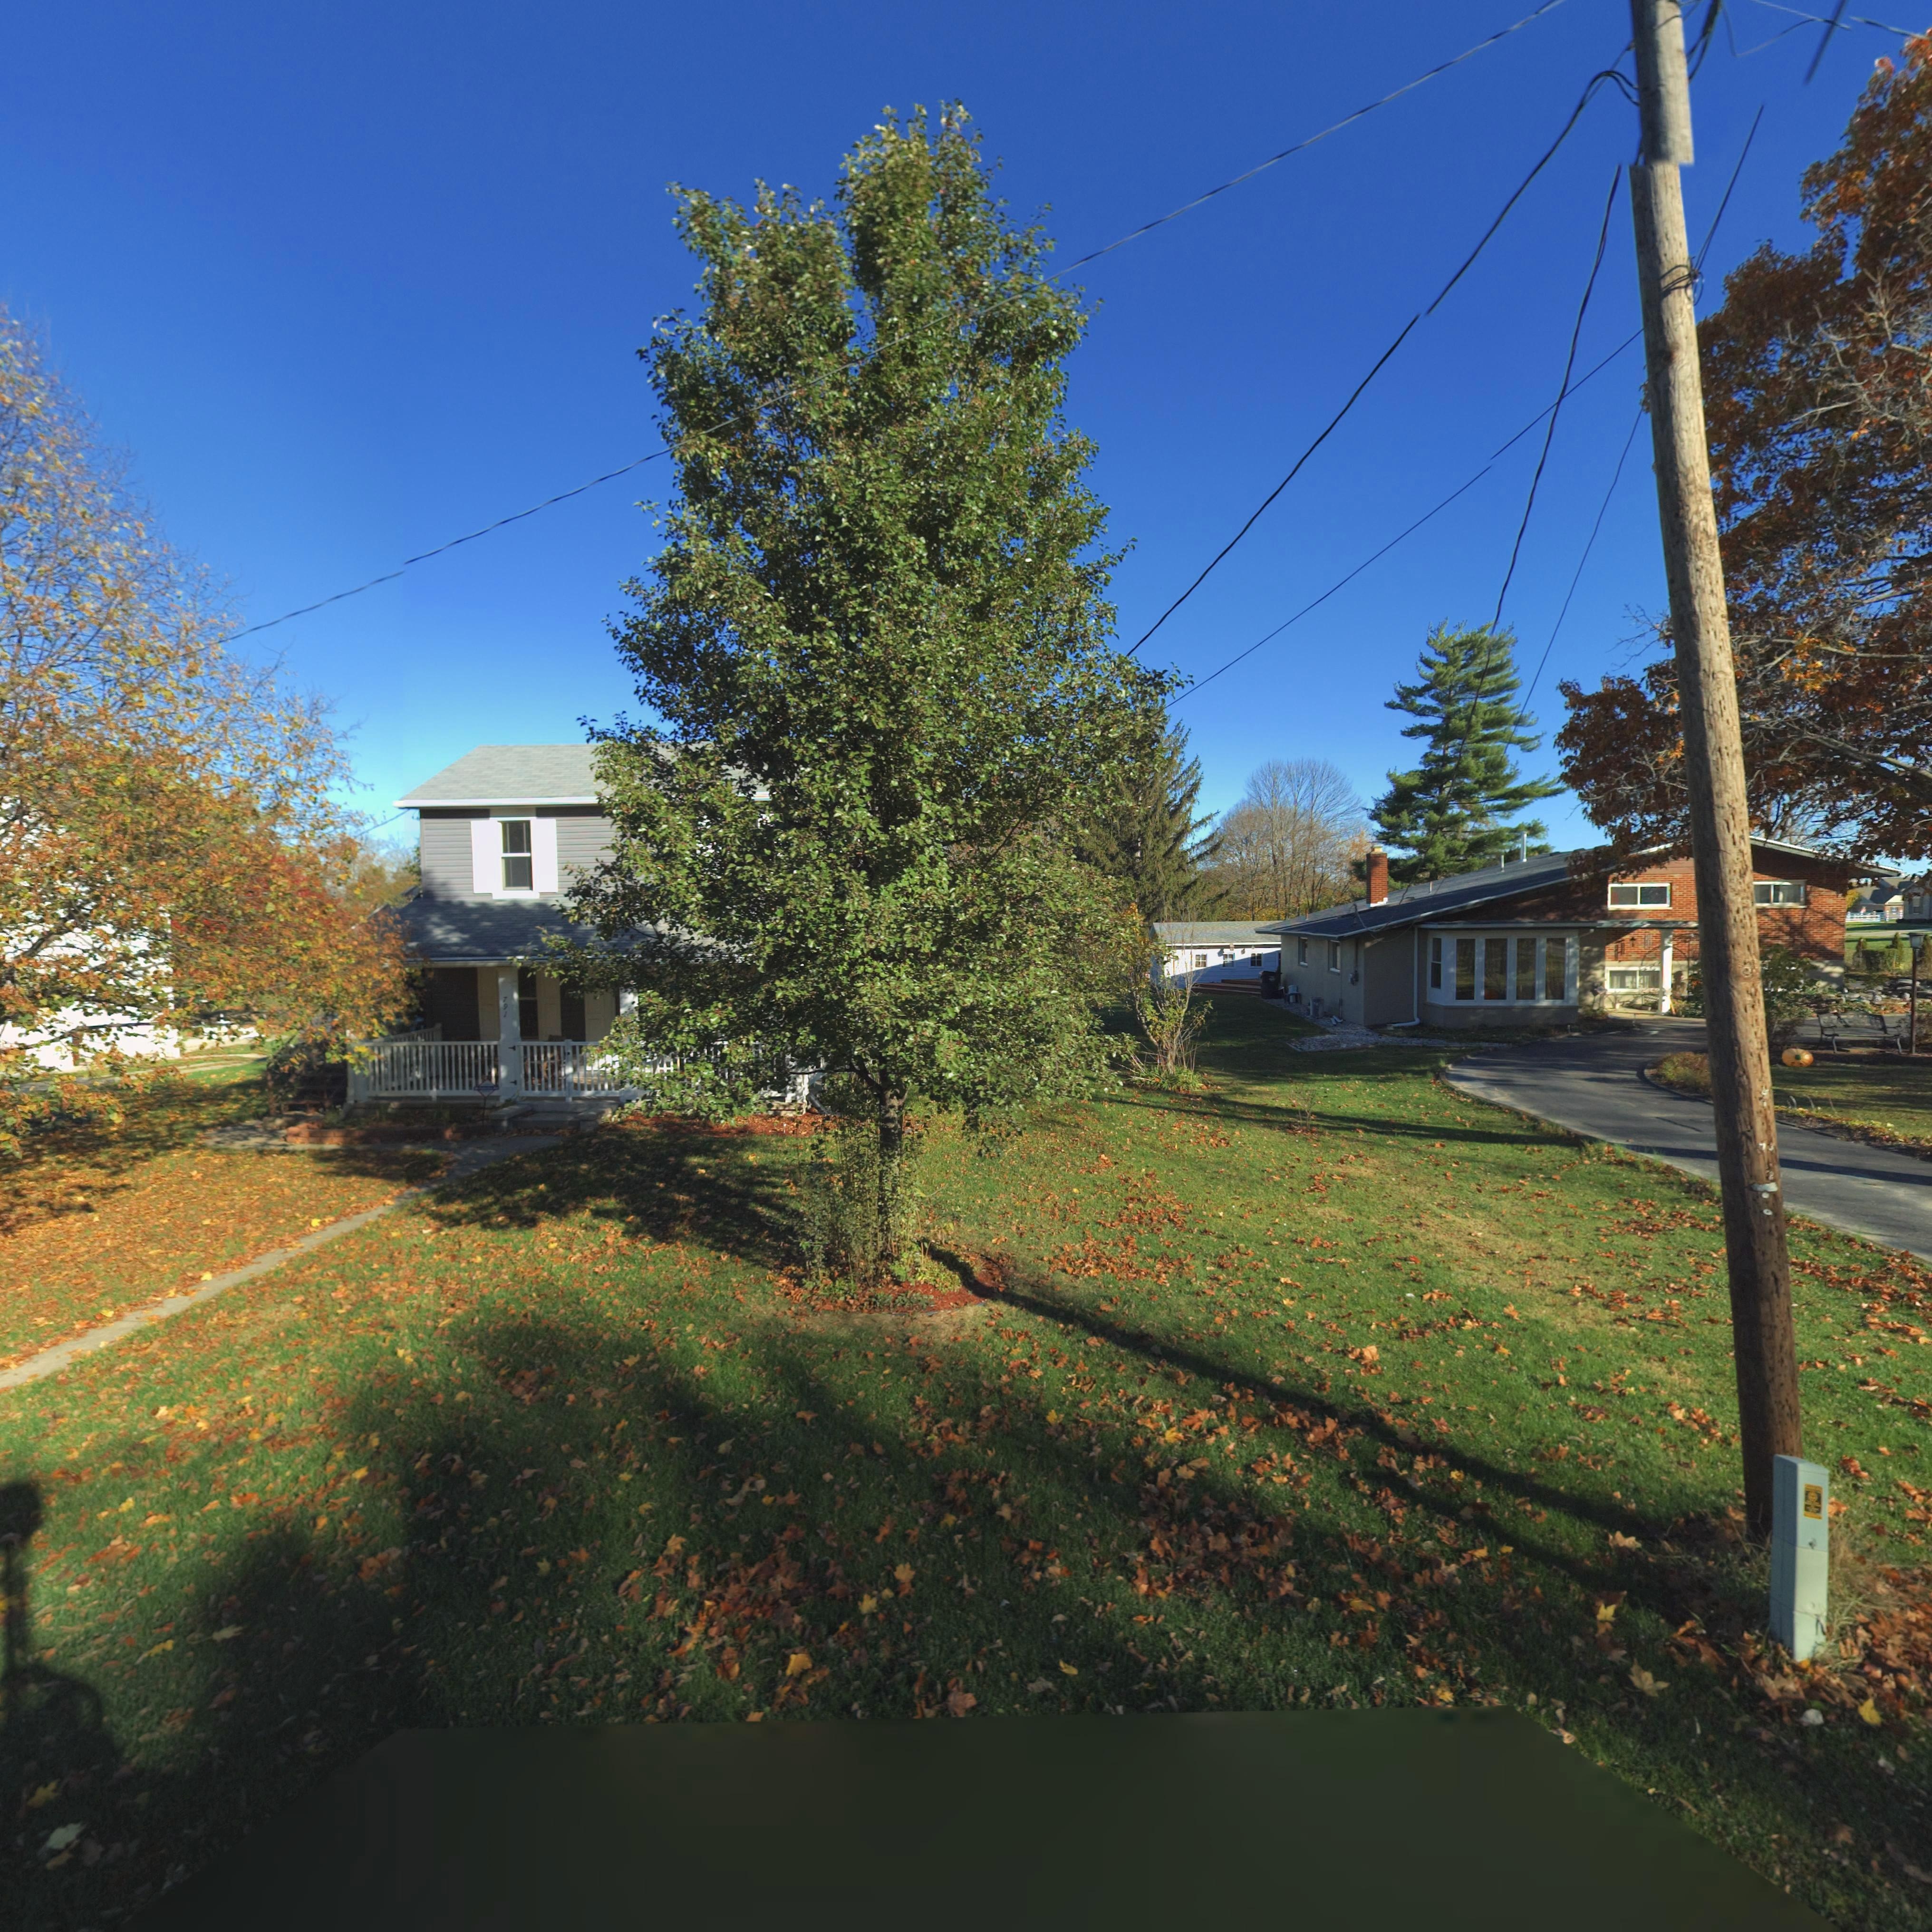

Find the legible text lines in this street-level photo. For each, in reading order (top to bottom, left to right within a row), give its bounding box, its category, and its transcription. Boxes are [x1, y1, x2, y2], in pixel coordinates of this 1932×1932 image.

[502, 995, 508, 1018] StreetNumber: 791